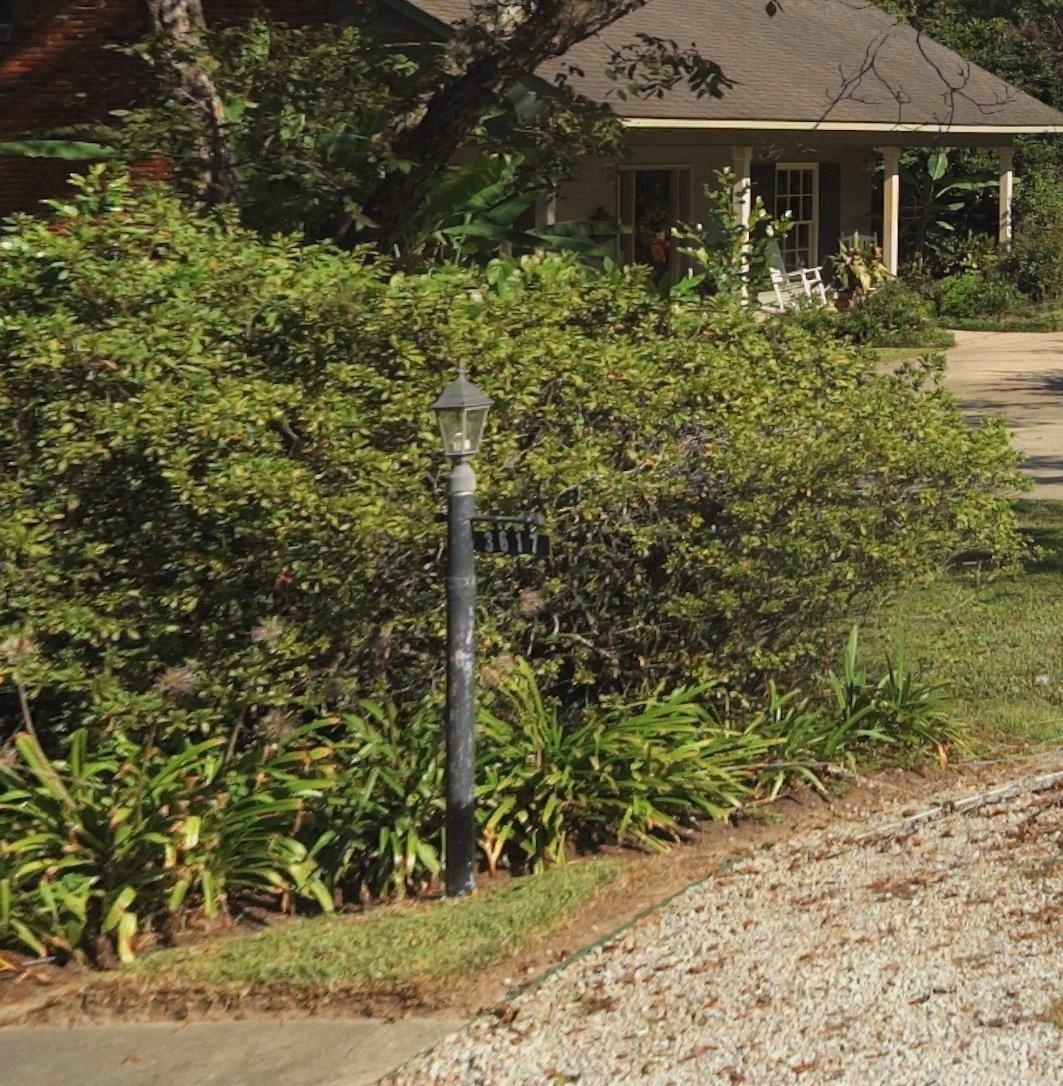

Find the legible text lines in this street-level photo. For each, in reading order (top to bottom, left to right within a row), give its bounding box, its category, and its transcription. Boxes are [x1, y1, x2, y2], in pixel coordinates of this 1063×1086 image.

[482, 528, 540, 557] StreetNumber: 3617